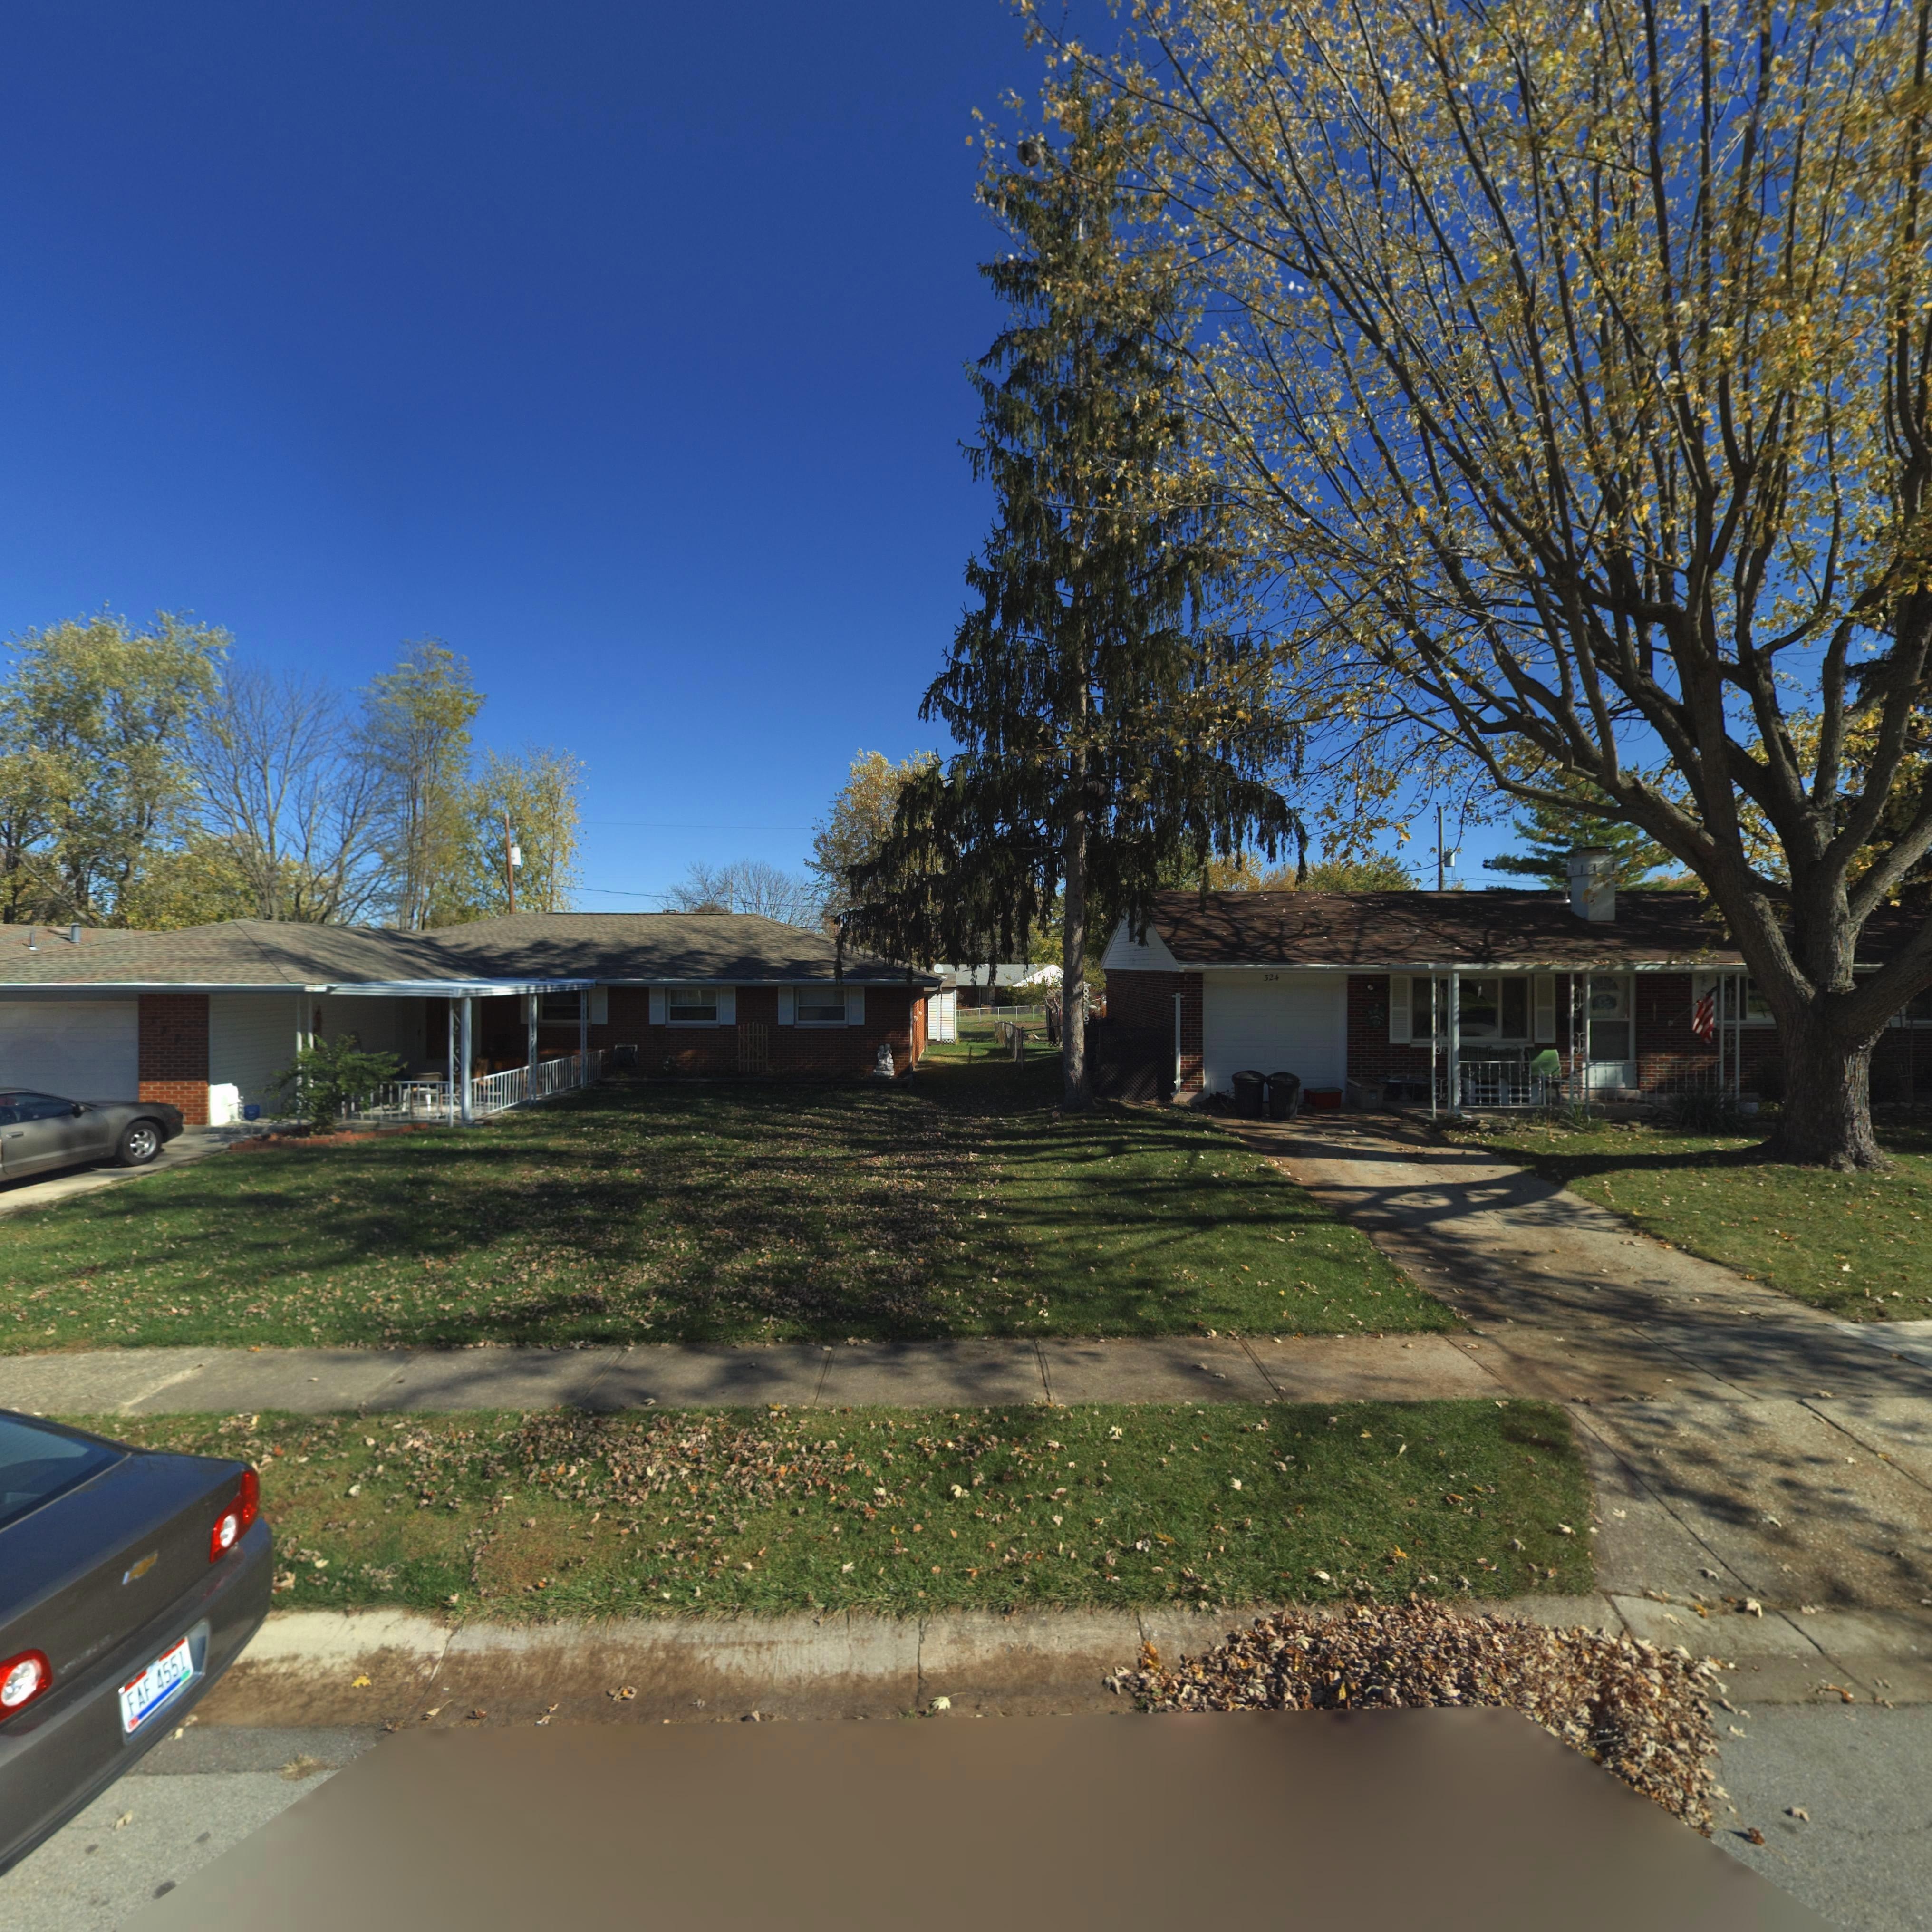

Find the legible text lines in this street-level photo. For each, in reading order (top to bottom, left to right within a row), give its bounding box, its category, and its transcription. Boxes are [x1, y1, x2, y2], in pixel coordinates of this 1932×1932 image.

[1263, 973, 1280, 983] StreetNumber: 324